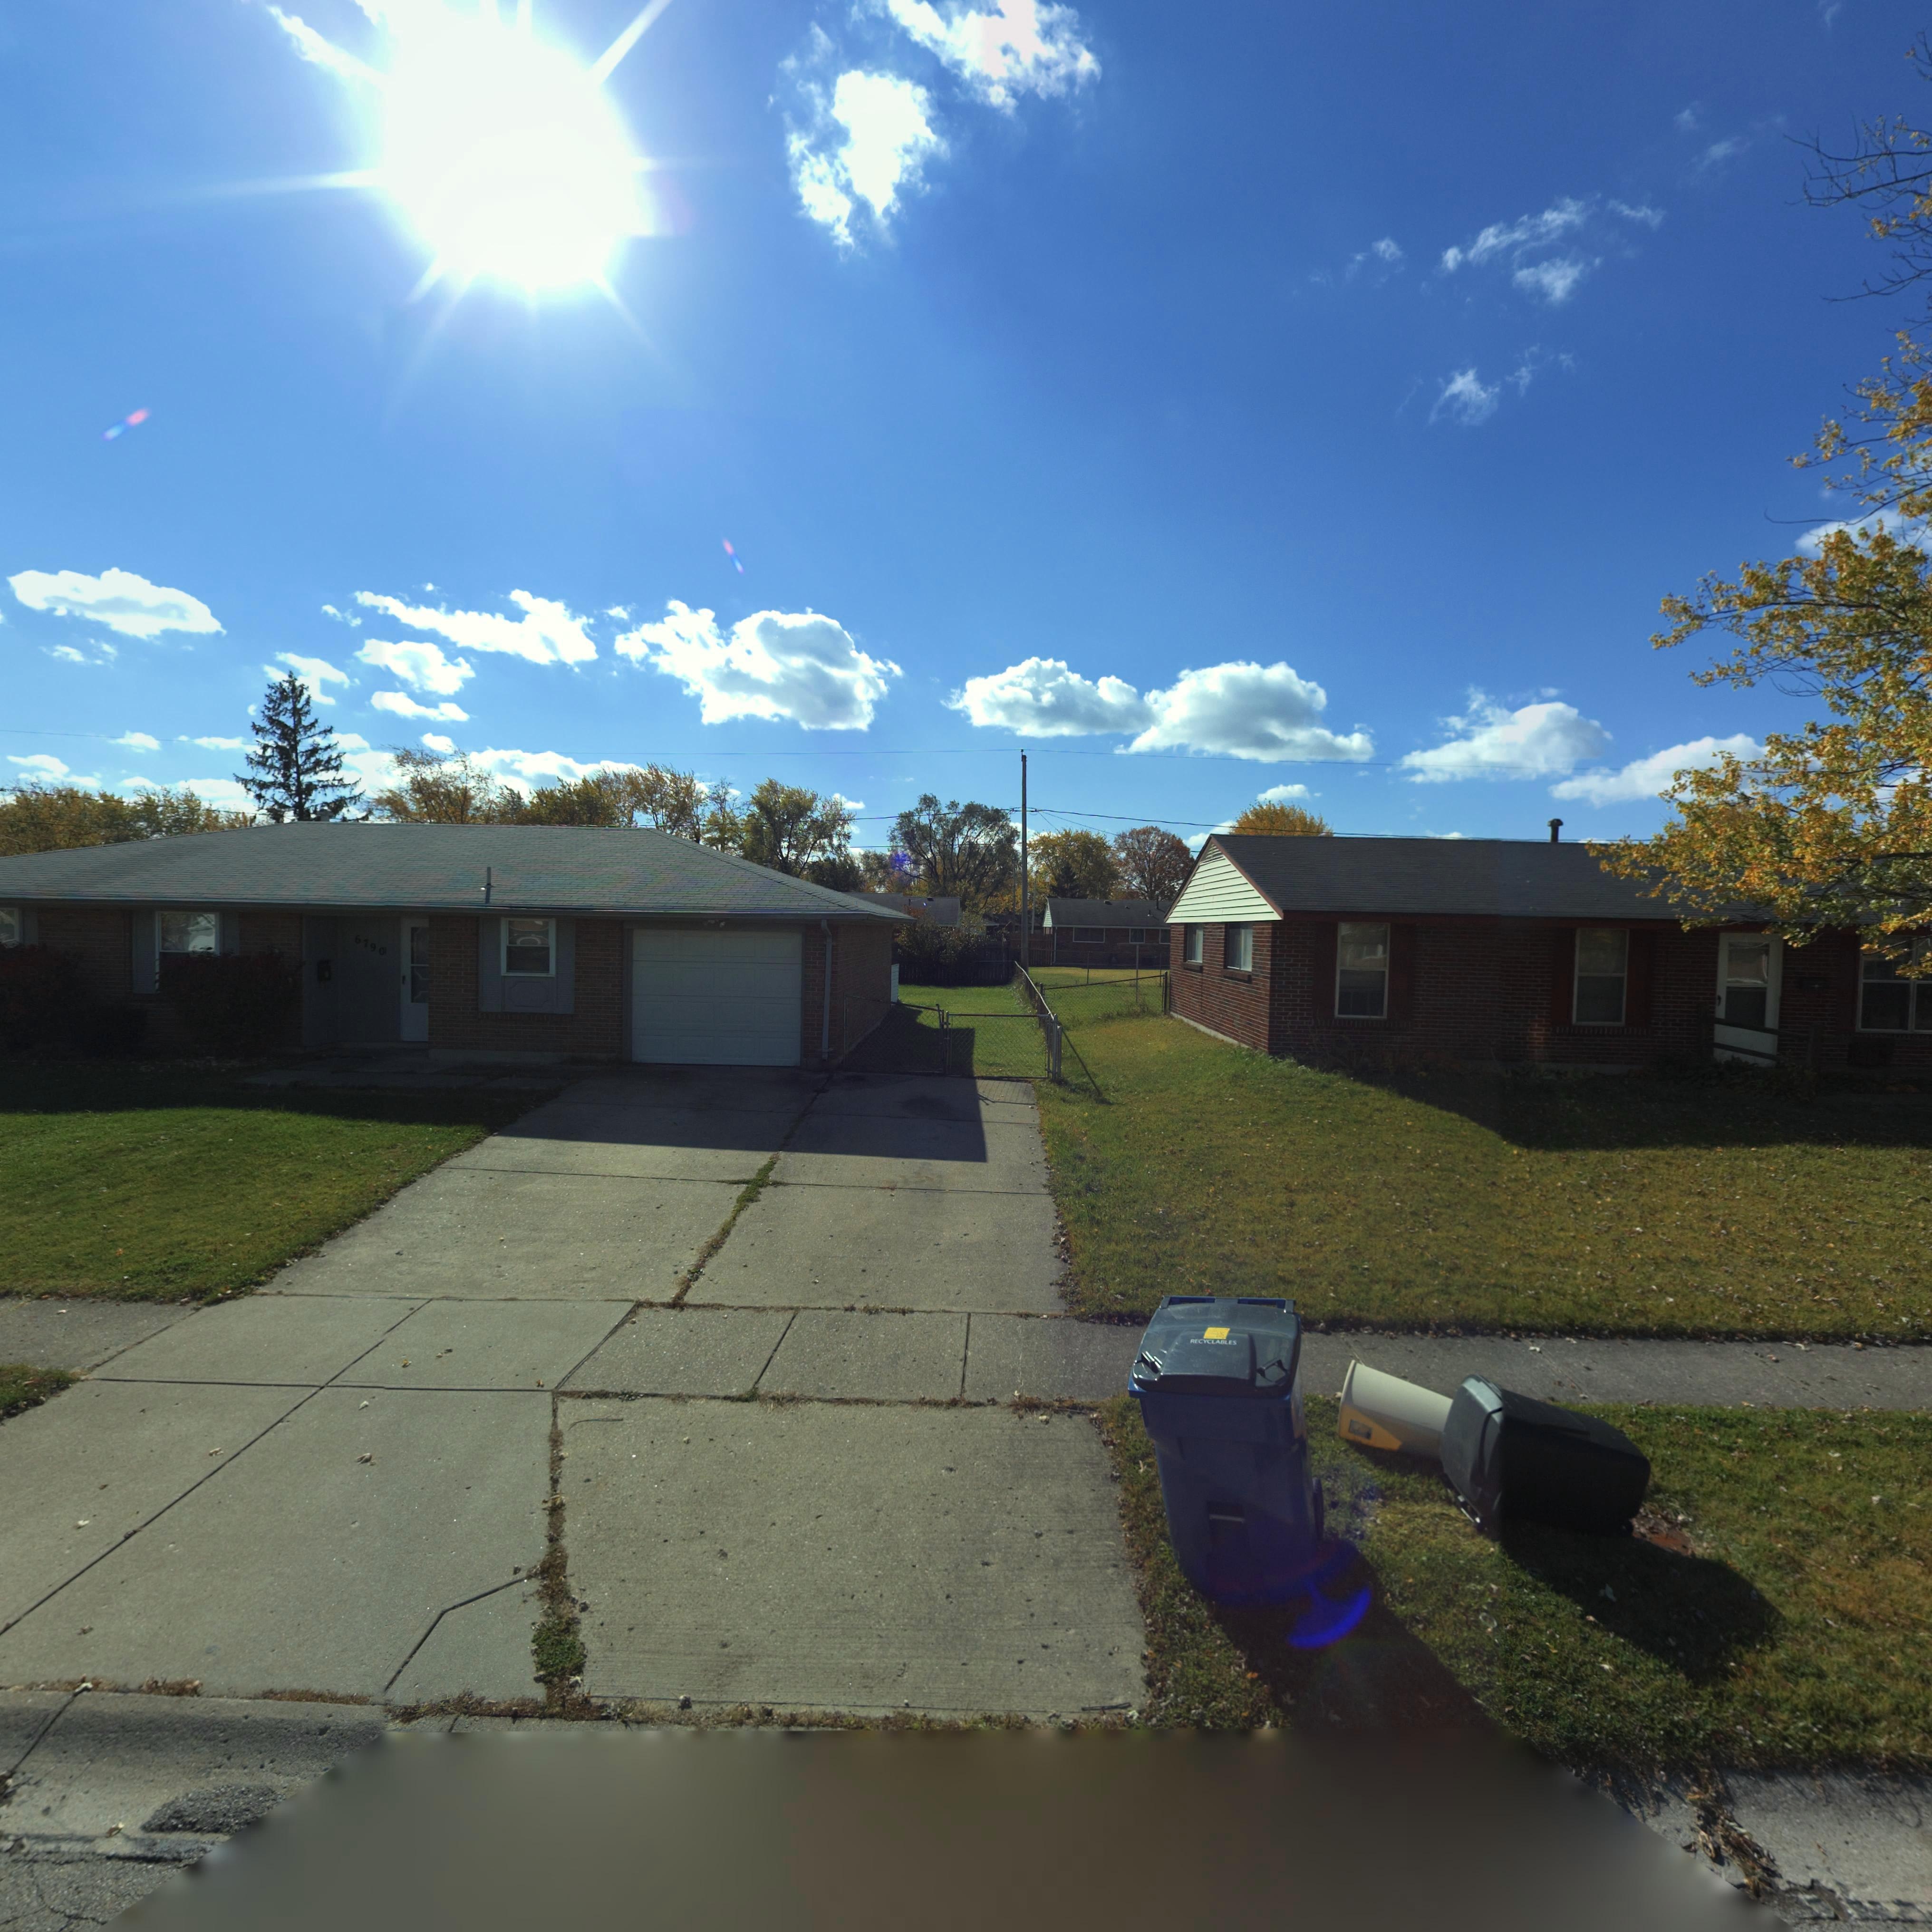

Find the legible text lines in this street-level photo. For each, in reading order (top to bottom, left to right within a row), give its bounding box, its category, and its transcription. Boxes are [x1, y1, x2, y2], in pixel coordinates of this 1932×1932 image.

[353, 933, 386, 957] StreetNumber: 6790